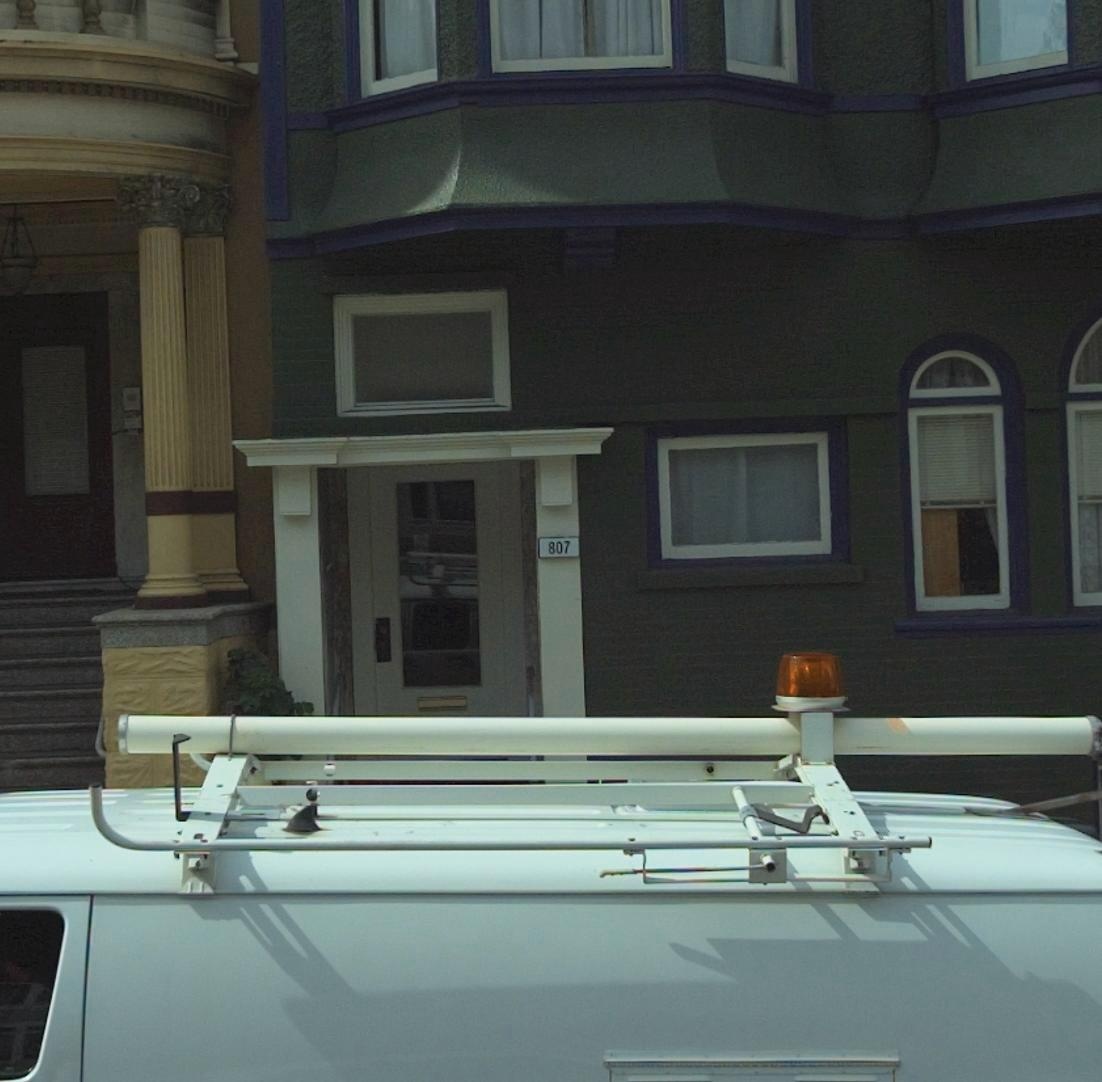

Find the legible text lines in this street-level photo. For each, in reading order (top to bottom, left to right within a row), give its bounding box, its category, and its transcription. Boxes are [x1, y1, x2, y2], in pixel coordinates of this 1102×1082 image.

[546, 539, 573, 556] StreetNumber: 807